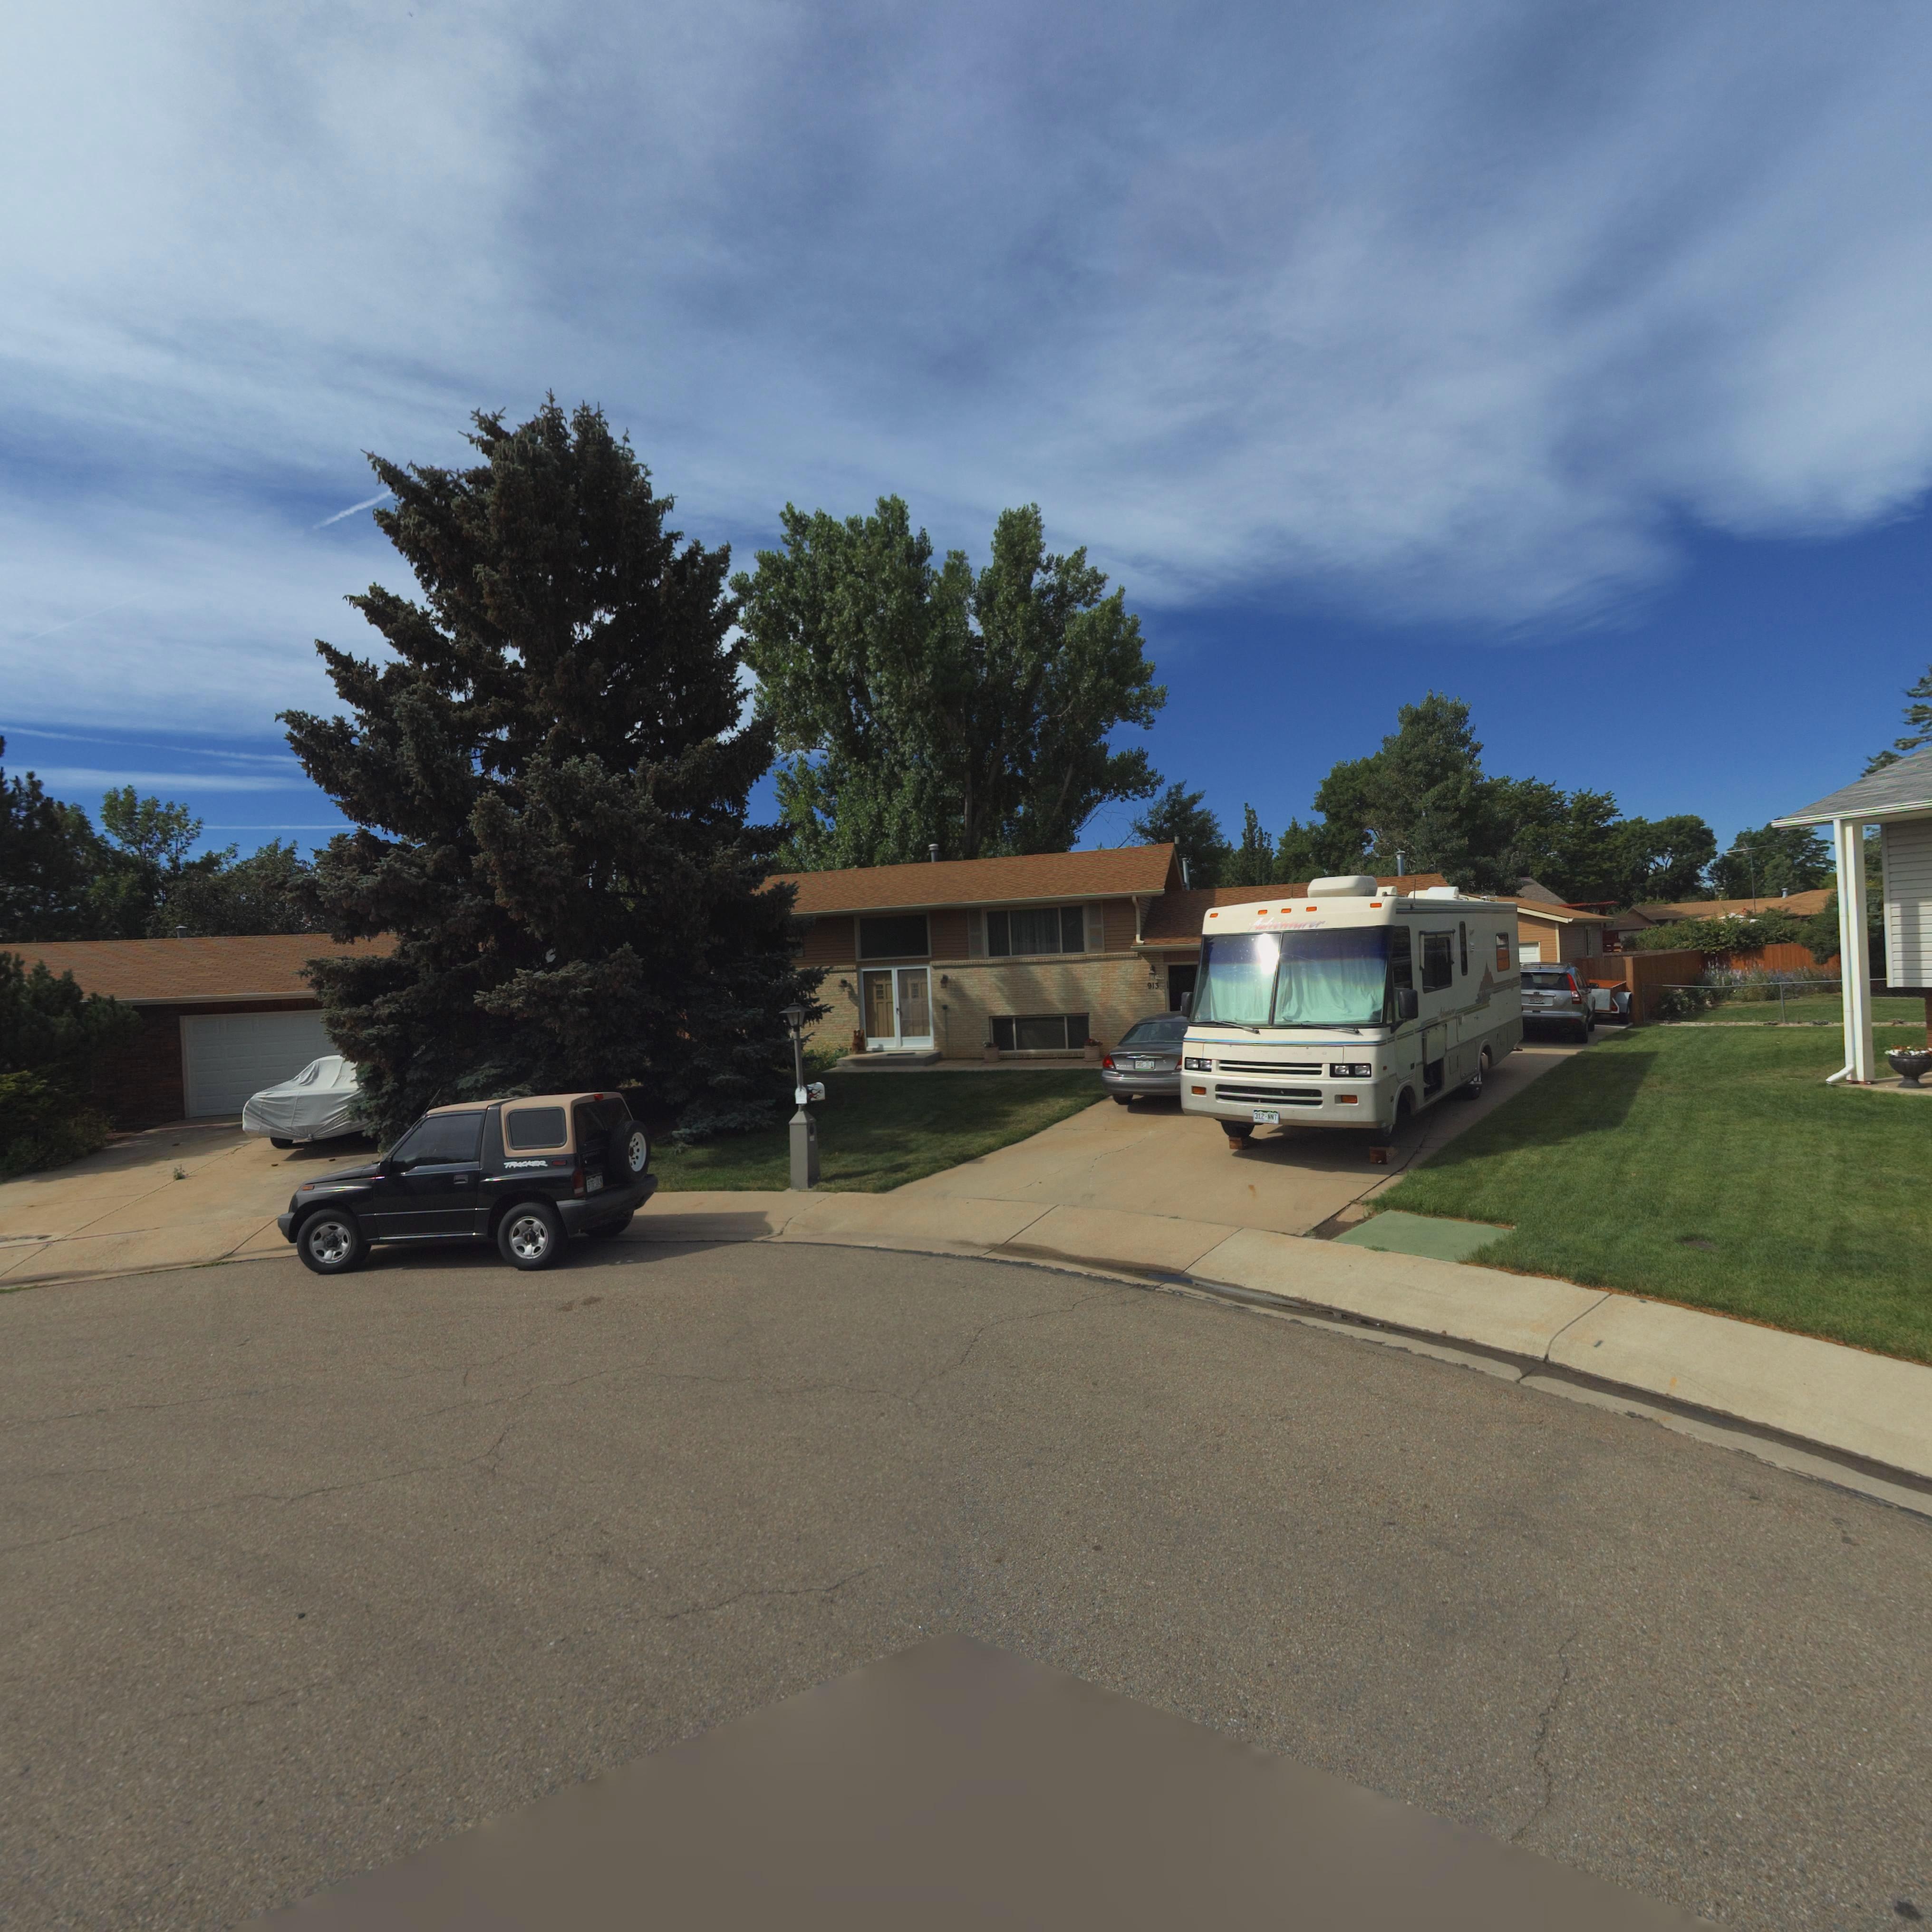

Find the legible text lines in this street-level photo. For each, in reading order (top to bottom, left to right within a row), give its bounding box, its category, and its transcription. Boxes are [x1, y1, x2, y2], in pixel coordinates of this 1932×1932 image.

[1147, 982, 1159, 989] StreetNumber: 913